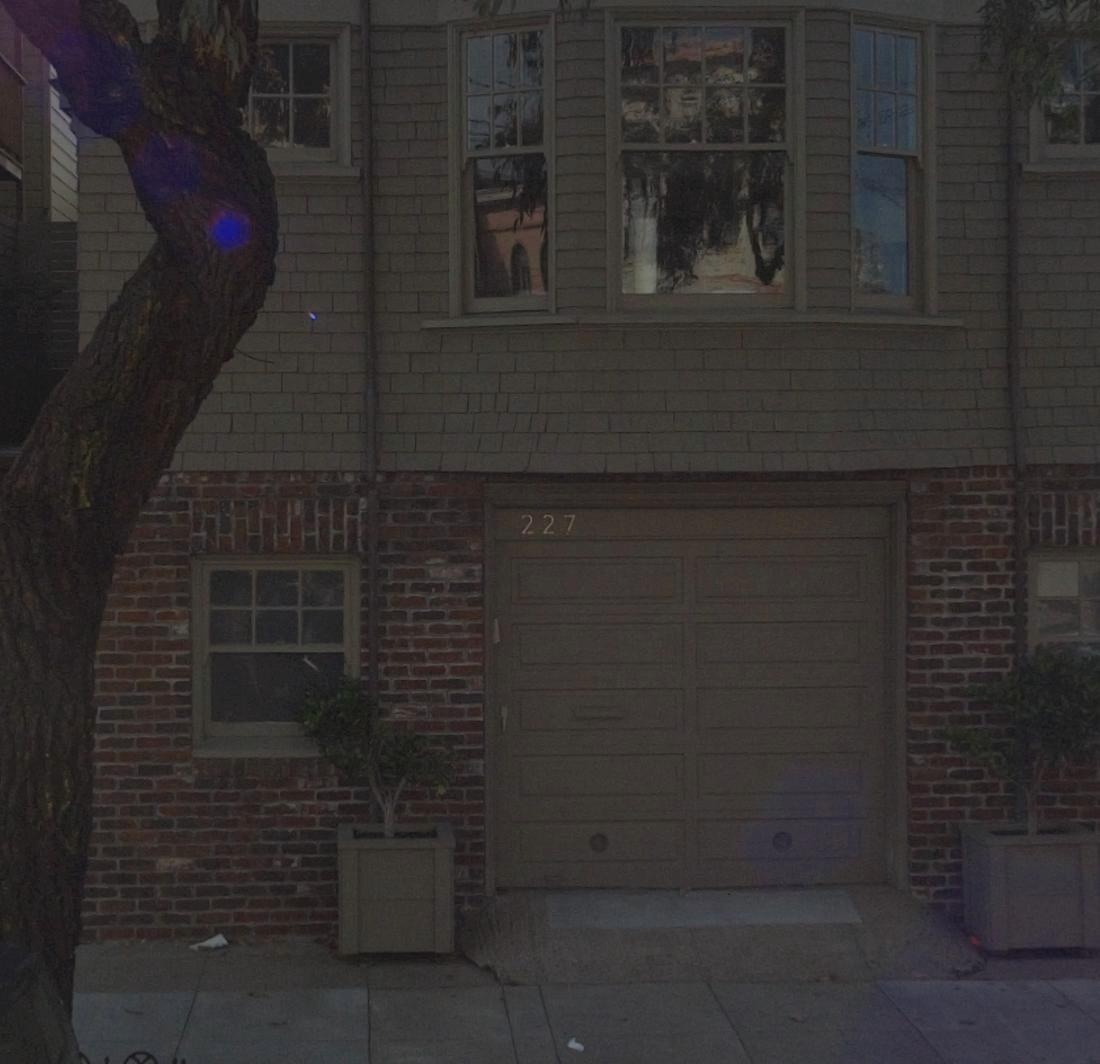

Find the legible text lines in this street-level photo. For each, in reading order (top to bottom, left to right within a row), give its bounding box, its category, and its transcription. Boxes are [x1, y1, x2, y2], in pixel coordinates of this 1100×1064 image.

[519, 513, 577, 536] StreetNumber: 227